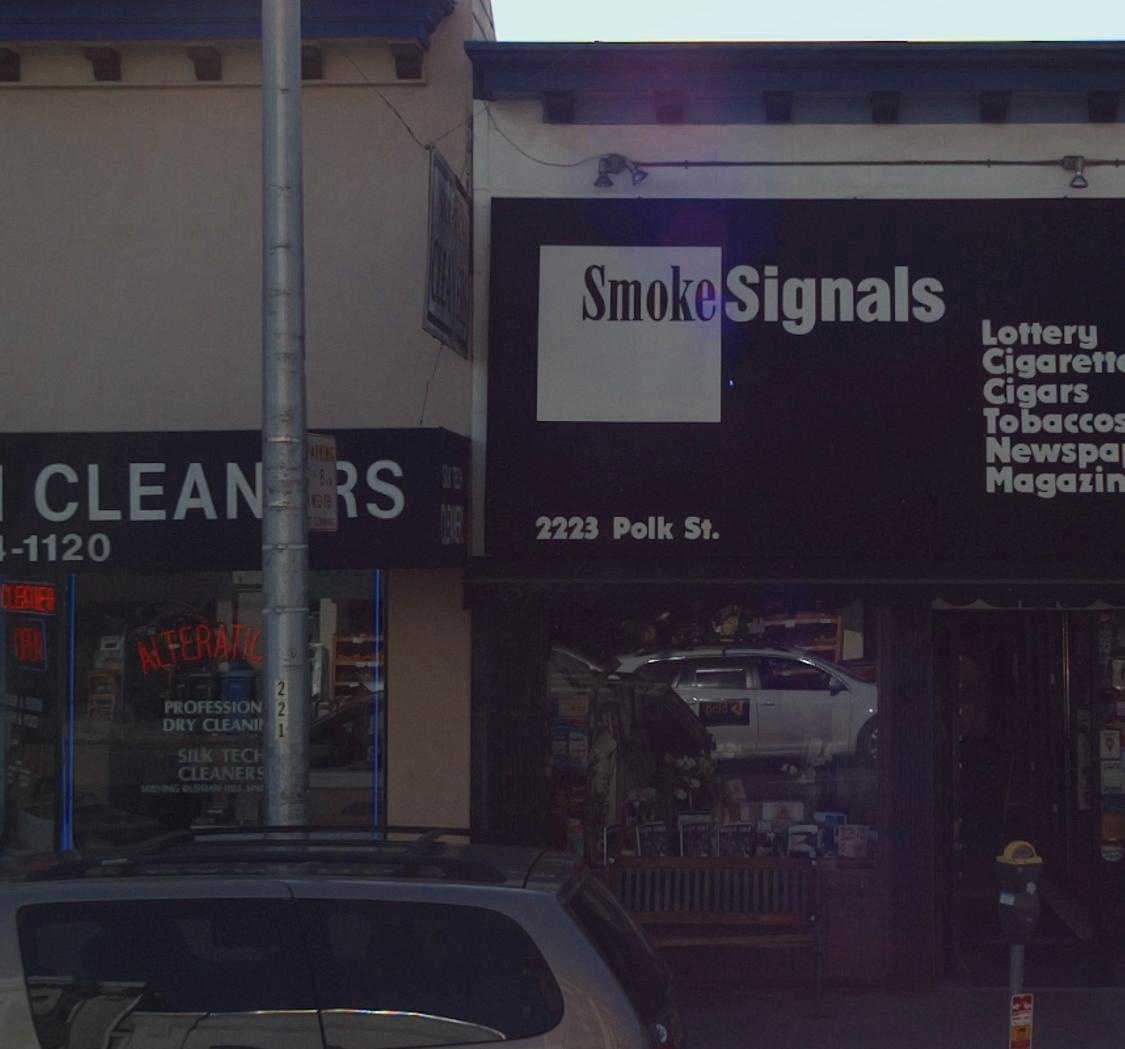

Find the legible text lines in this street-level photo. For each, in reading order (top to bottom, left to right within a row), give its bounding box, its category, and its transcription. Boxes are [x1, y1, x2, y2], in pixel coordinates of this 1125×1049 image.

[576, 259, 945, 337] BusinessName: SmokeSignals
[980, 317, 1099, 350] None: Lottery
[982, 347, 1117, 379] None: Cigarett
[982, 376, 1090, 409] None: Cigars
[981, 407, 1115, 435] None: Tobacco
[984, 434, 1122, 465] None: Newspa
[34, 457, 406, 525] BusinessName: CLEAN**S
[985, 464, 1124, 501] None: Magazin
[533, 513, 599, 541] StreetNumber: 2223
[611, 513, 720, 541] StreetName: Polk St.
[21, 530, 113, 565] None: 1120
[9, 623, 47, 664] None: OPEN
[134, 622, 255, 677] None: ALTERATI
[163, 698, 262, 715] None: PROFESSION
[274, 678, 286, 738] None: 221
[162, 716, 259, 734] None: DRY CLEANI
[176, 746, 254, 763] None: SILK TEC
[176, 763, 256, 782] None: CLEANER